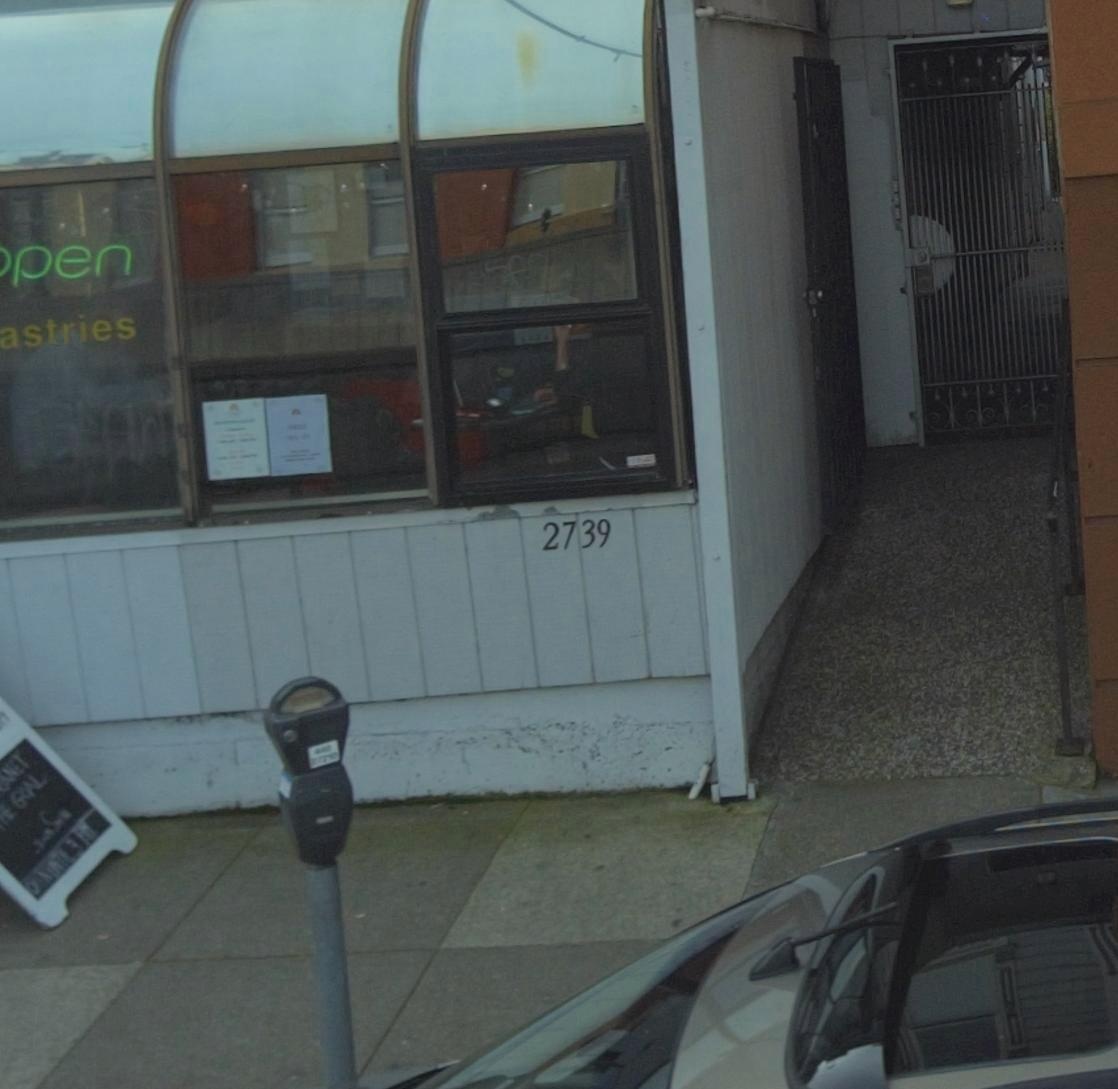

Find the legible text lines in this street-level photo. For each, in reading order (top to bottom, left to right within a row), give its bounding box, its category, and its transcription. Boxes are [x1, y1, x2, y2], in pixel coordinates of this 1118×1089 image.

[8, 243, 132, 292] None: pen
[0, 310, 139, 352] None: astries
[540, 517, 613, 553] StreetNumber: 2739